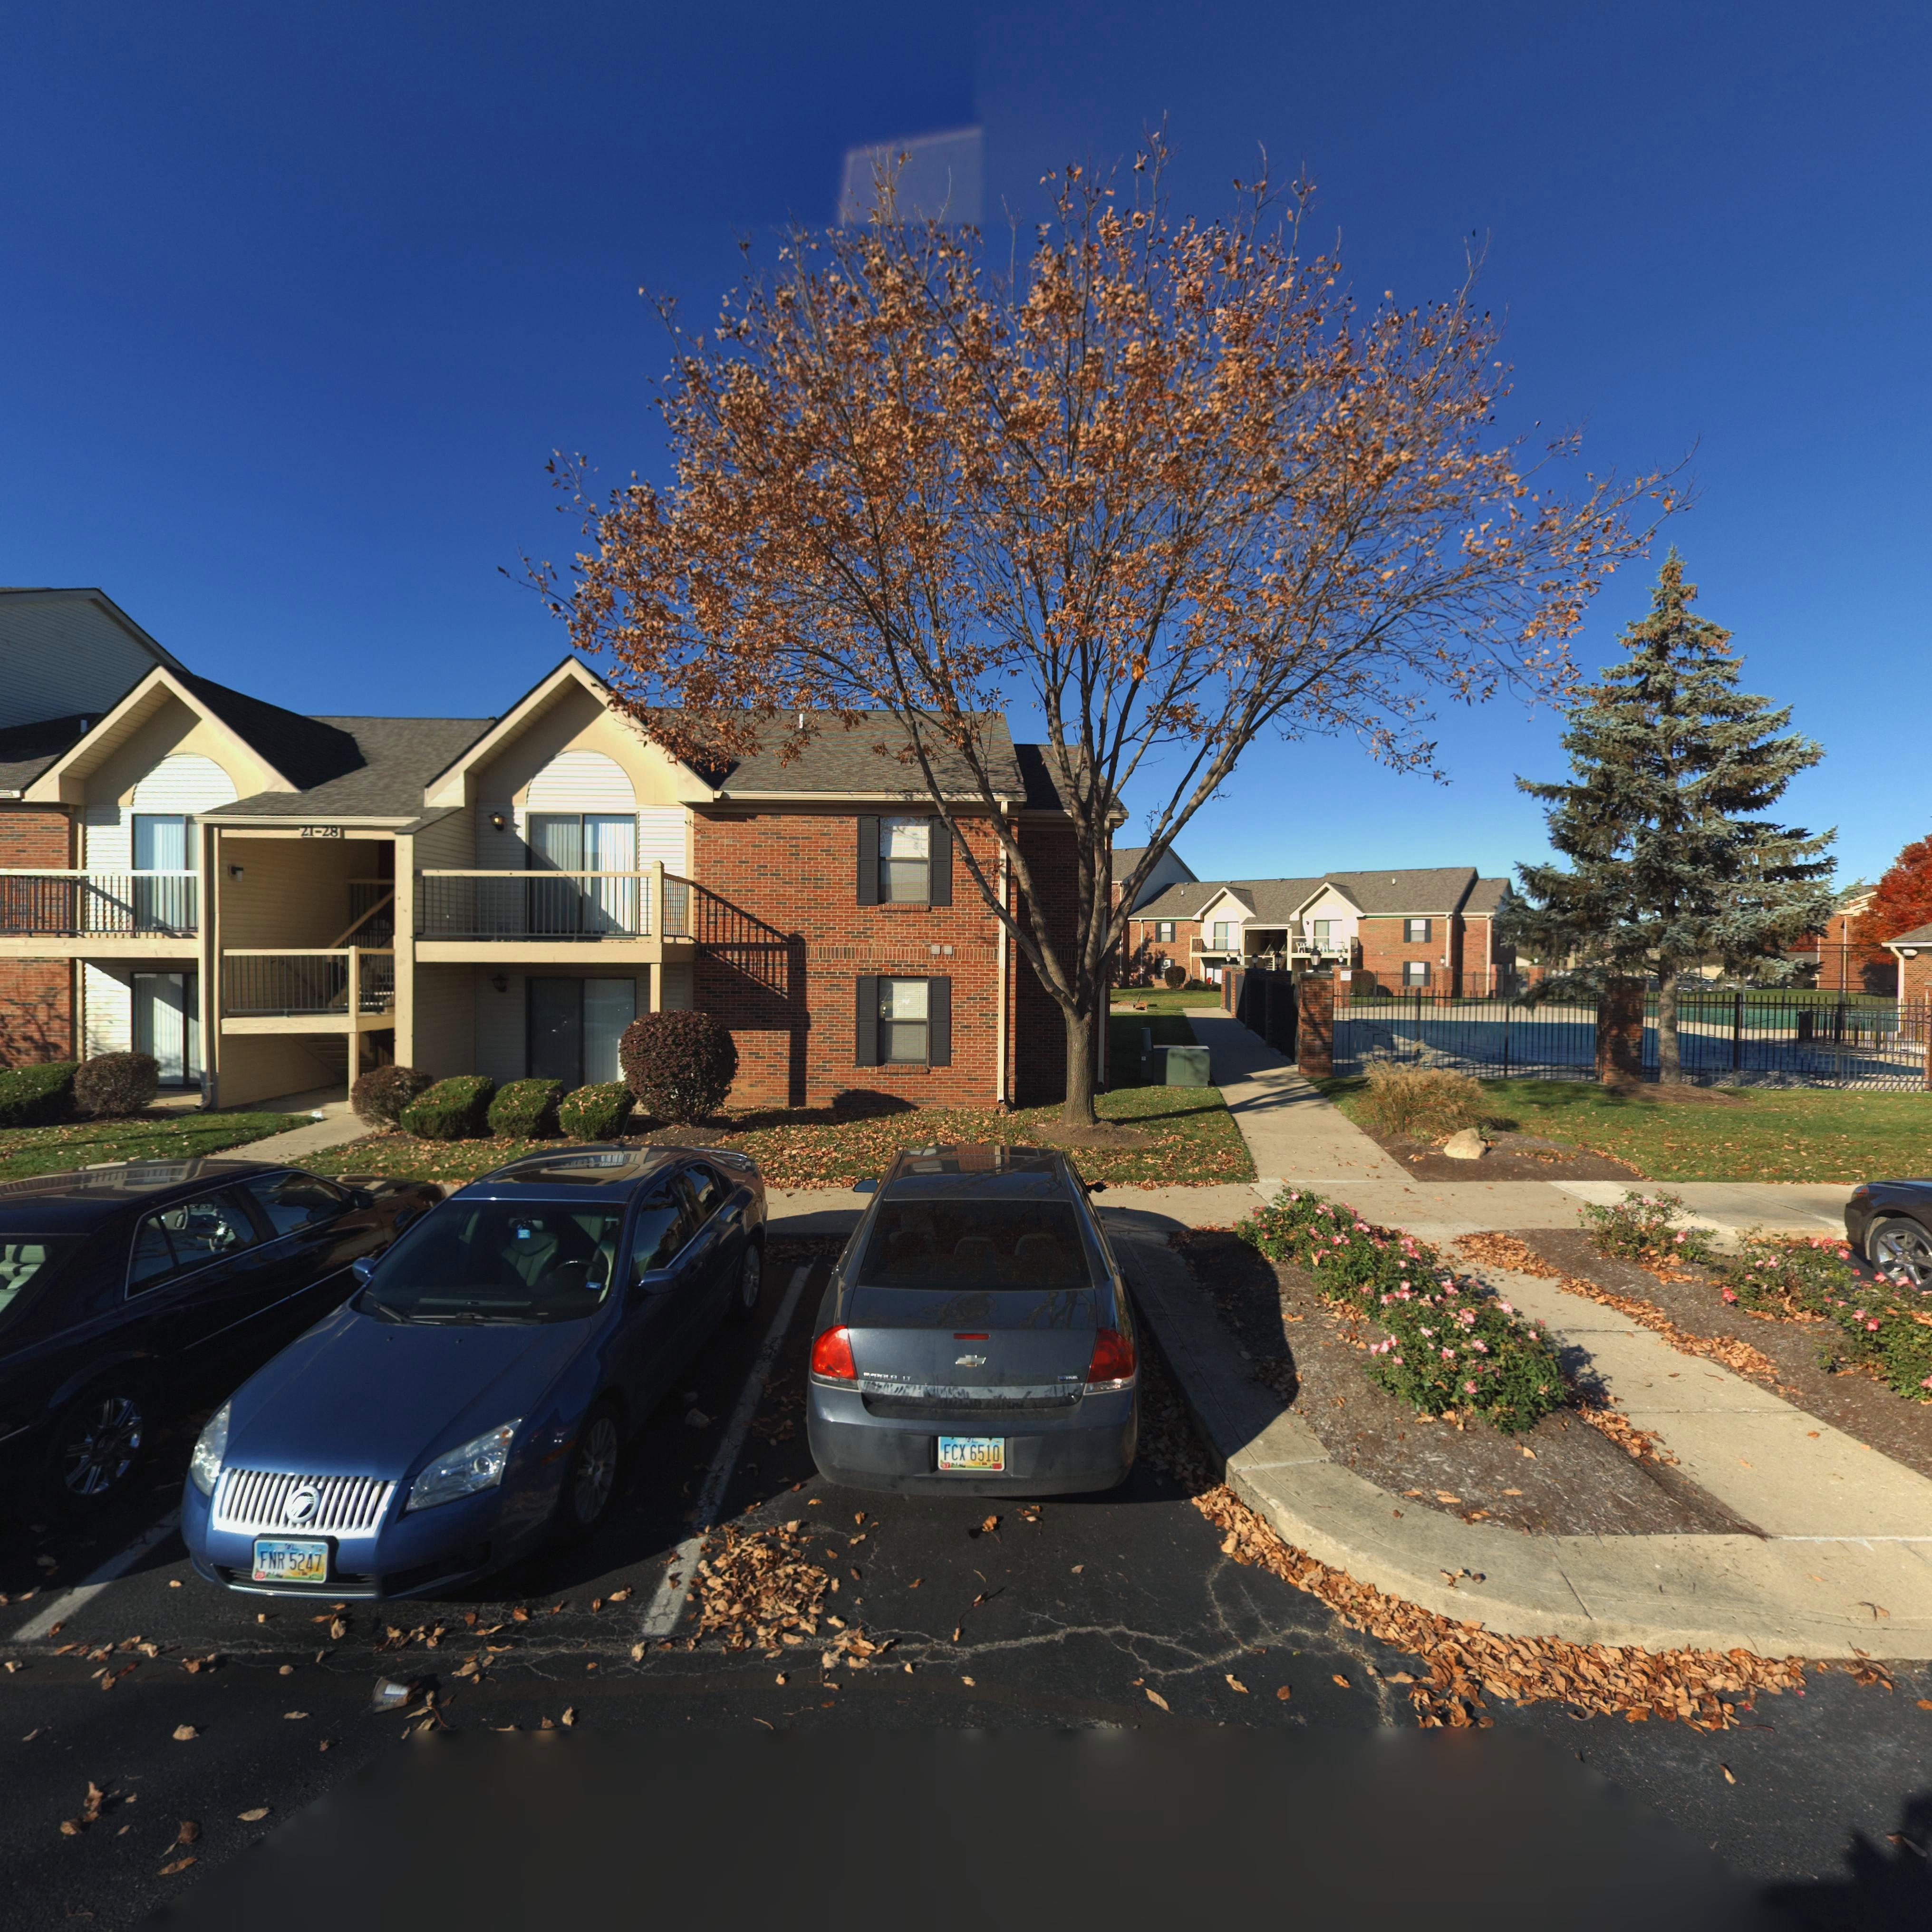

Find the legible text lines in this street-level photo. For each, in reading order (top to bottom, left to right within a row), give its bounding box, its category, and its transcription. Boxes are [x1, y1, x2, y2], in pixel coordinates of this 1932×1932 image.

[300, 824, 339, 838] StreetNumber: 21-28